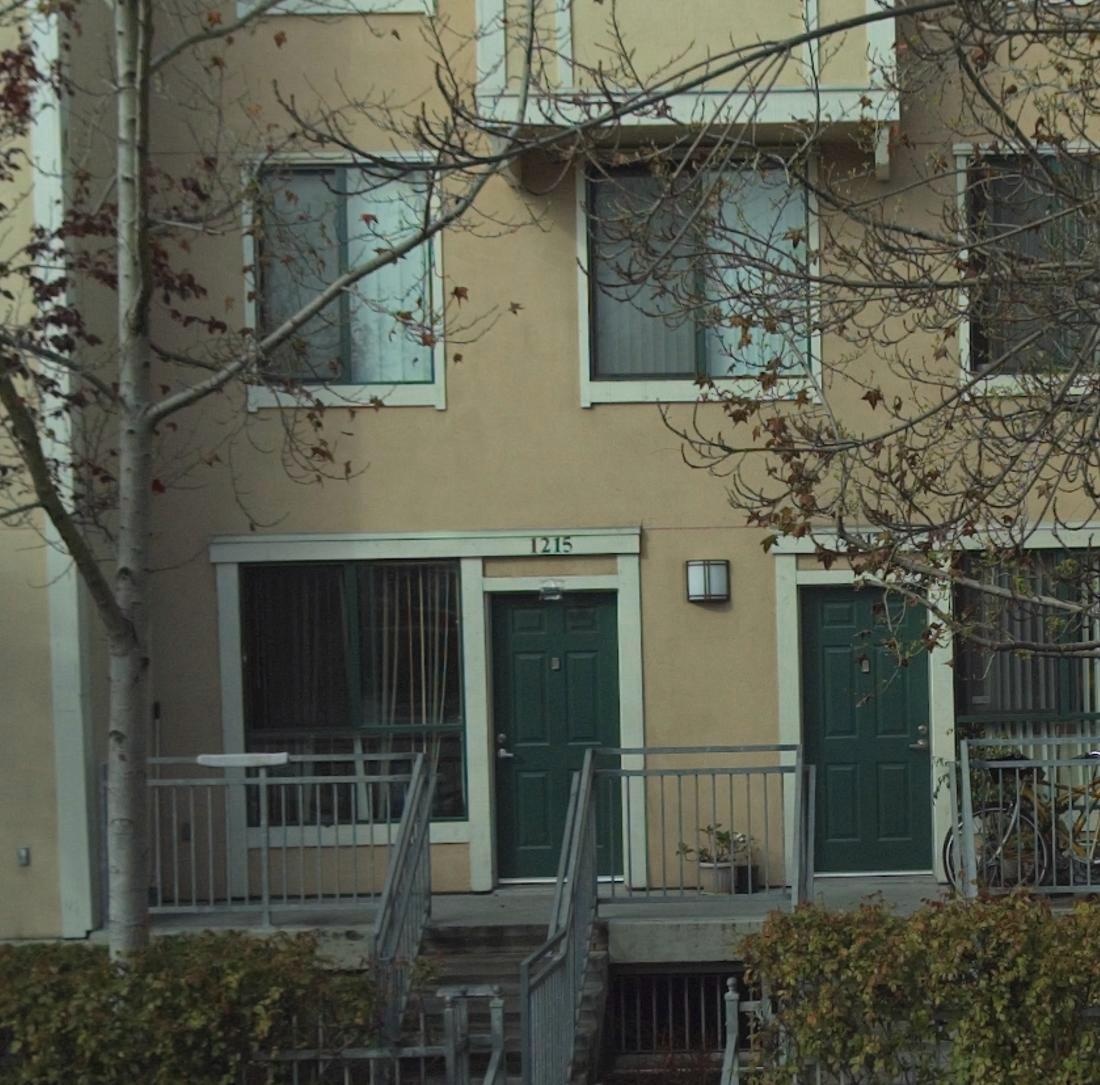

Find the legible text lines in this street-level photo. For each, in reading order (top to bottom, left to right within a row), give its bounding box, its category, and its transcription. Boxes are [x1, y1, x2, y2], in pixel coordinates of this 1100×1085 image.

[528, 533, 577, 556] StreetNumber: 1215